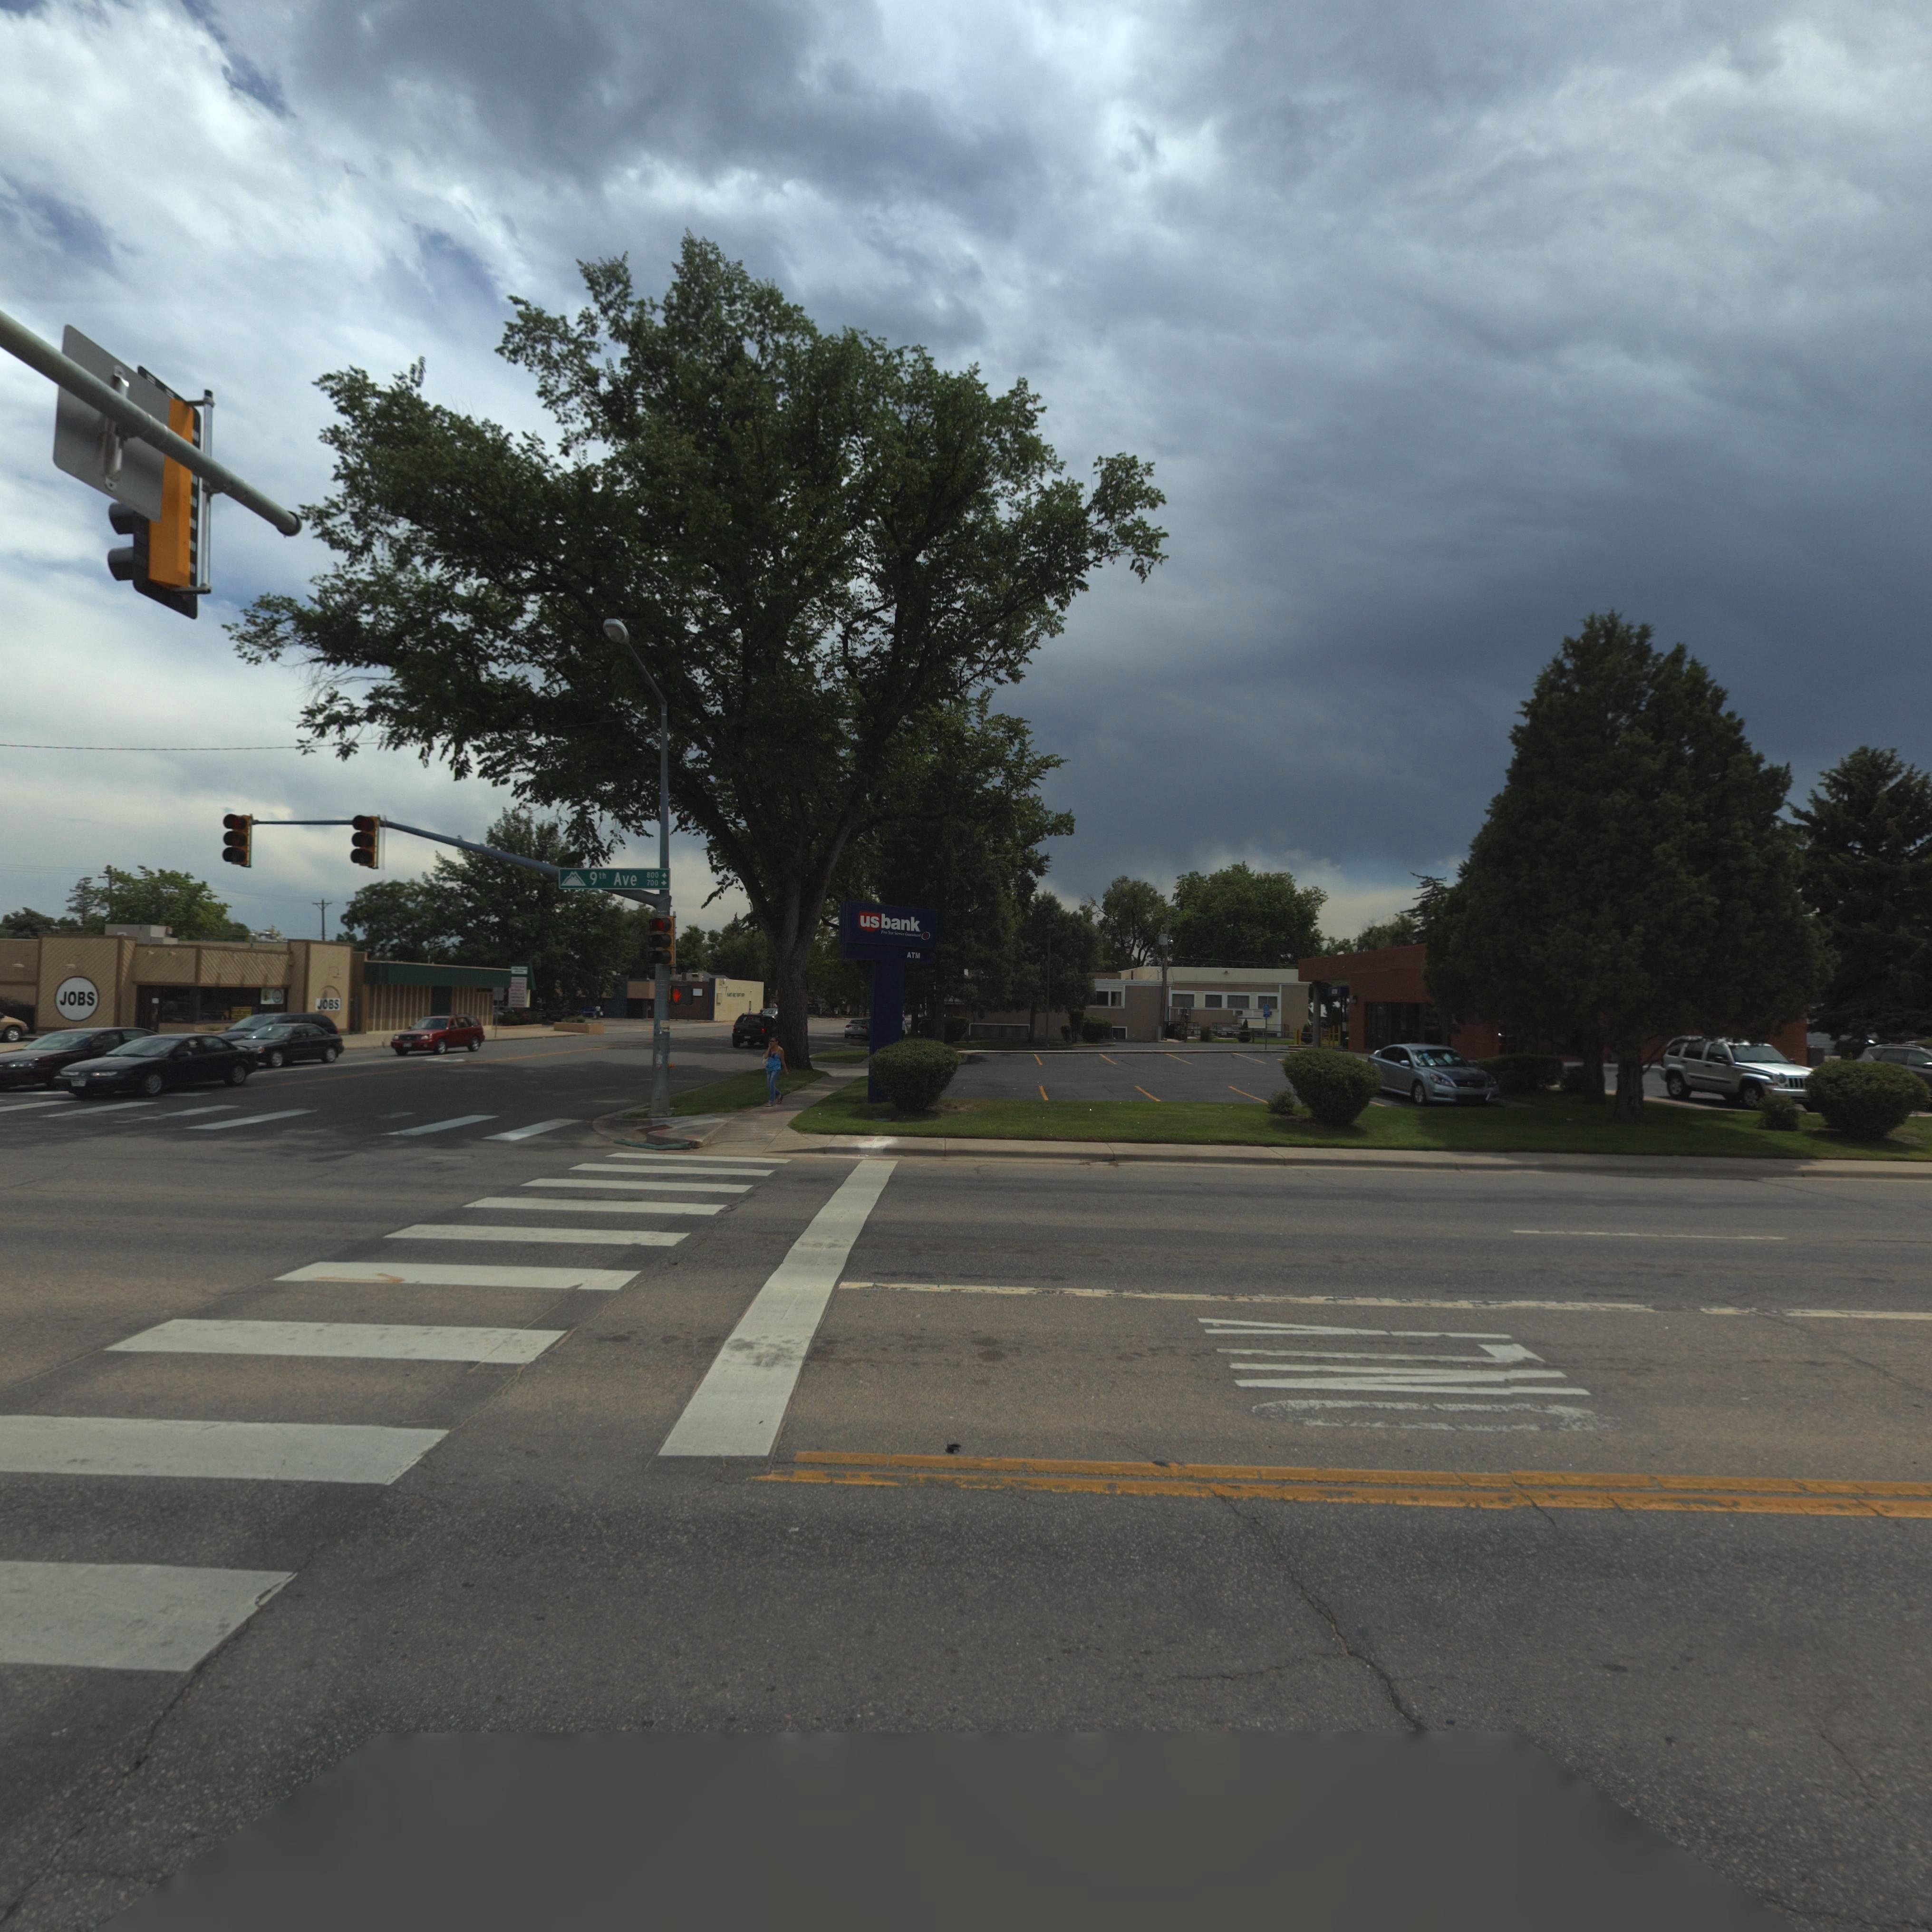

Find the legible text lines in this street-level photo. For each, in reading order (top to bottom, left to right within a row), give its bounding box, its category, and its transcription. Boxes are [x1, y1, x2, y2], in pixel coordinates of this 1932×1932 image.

[589, 871, 638, 887] StreetName: 9th Ave
[646, 871, 659, 878] StreetNumberRange: 800
[646, 879, 667, 886] StreetNumberRange: 700->
[860, 913, 920, 932] BusinessName: usbank